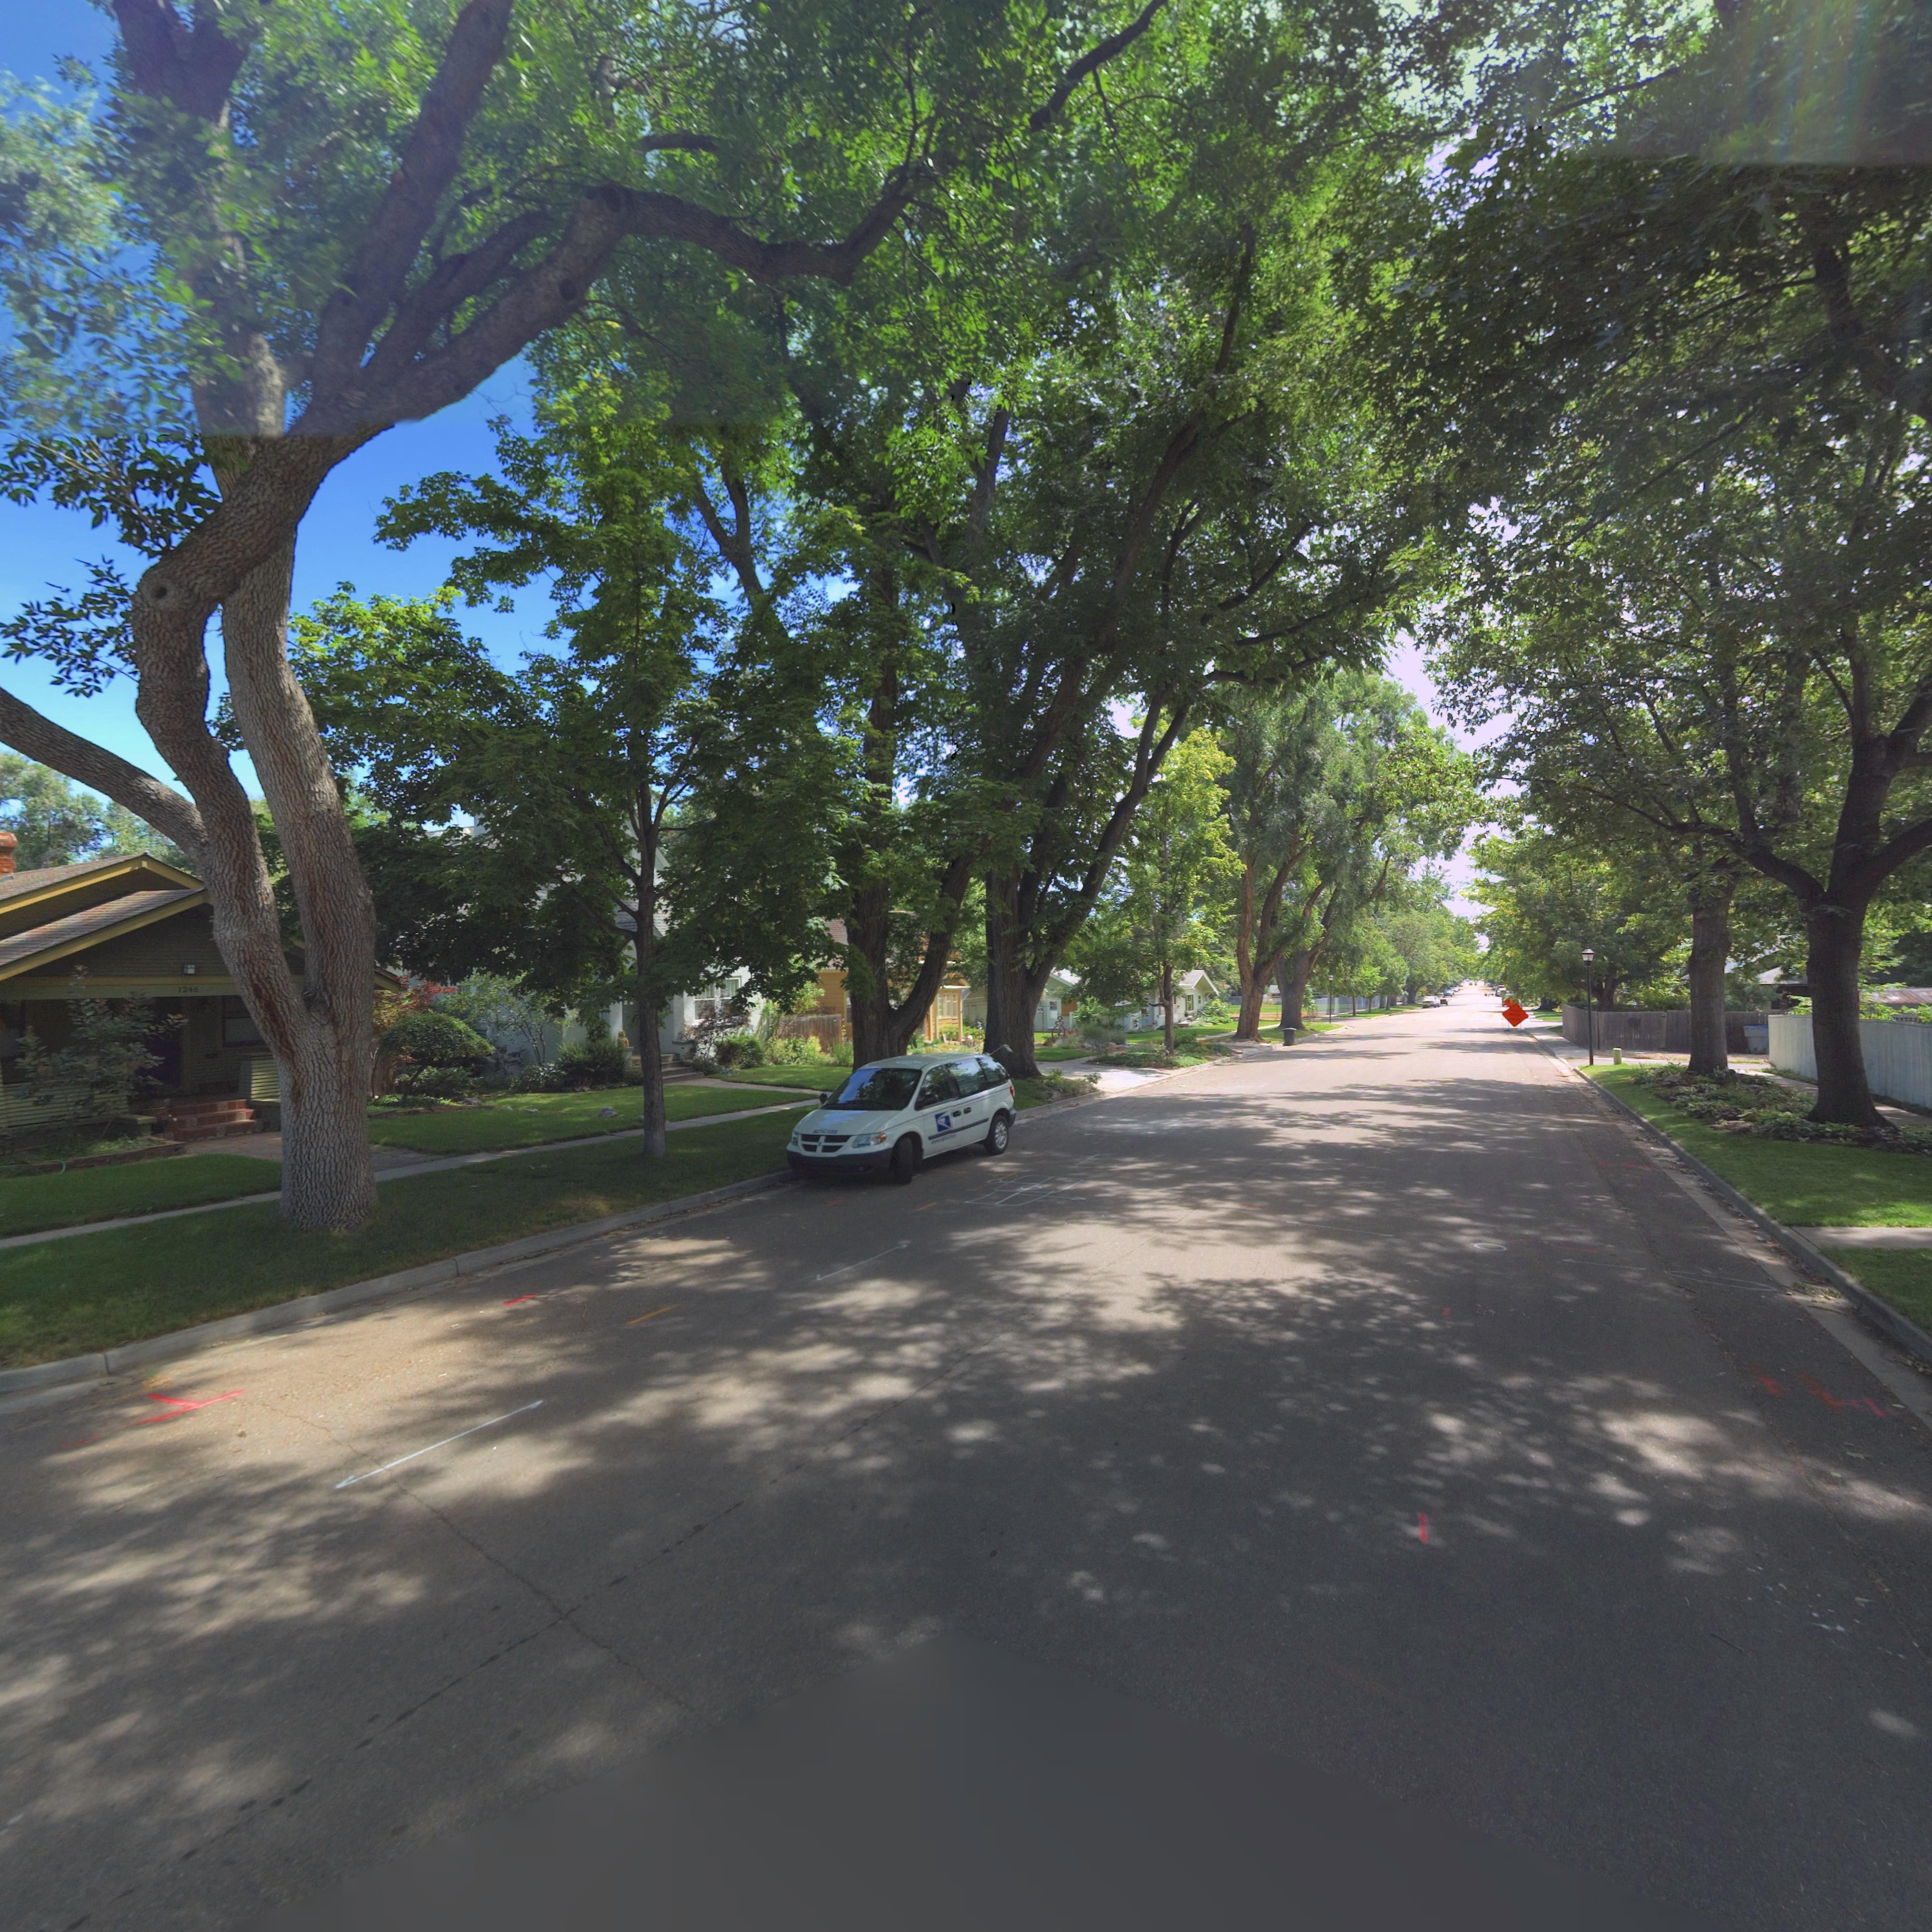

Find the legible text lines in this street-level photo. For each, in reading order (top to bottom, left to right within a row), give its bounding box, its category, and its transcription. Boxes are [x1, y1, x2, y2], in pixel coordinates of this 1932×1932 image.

[178, 985, 200, 993] StreetNumber: 1245